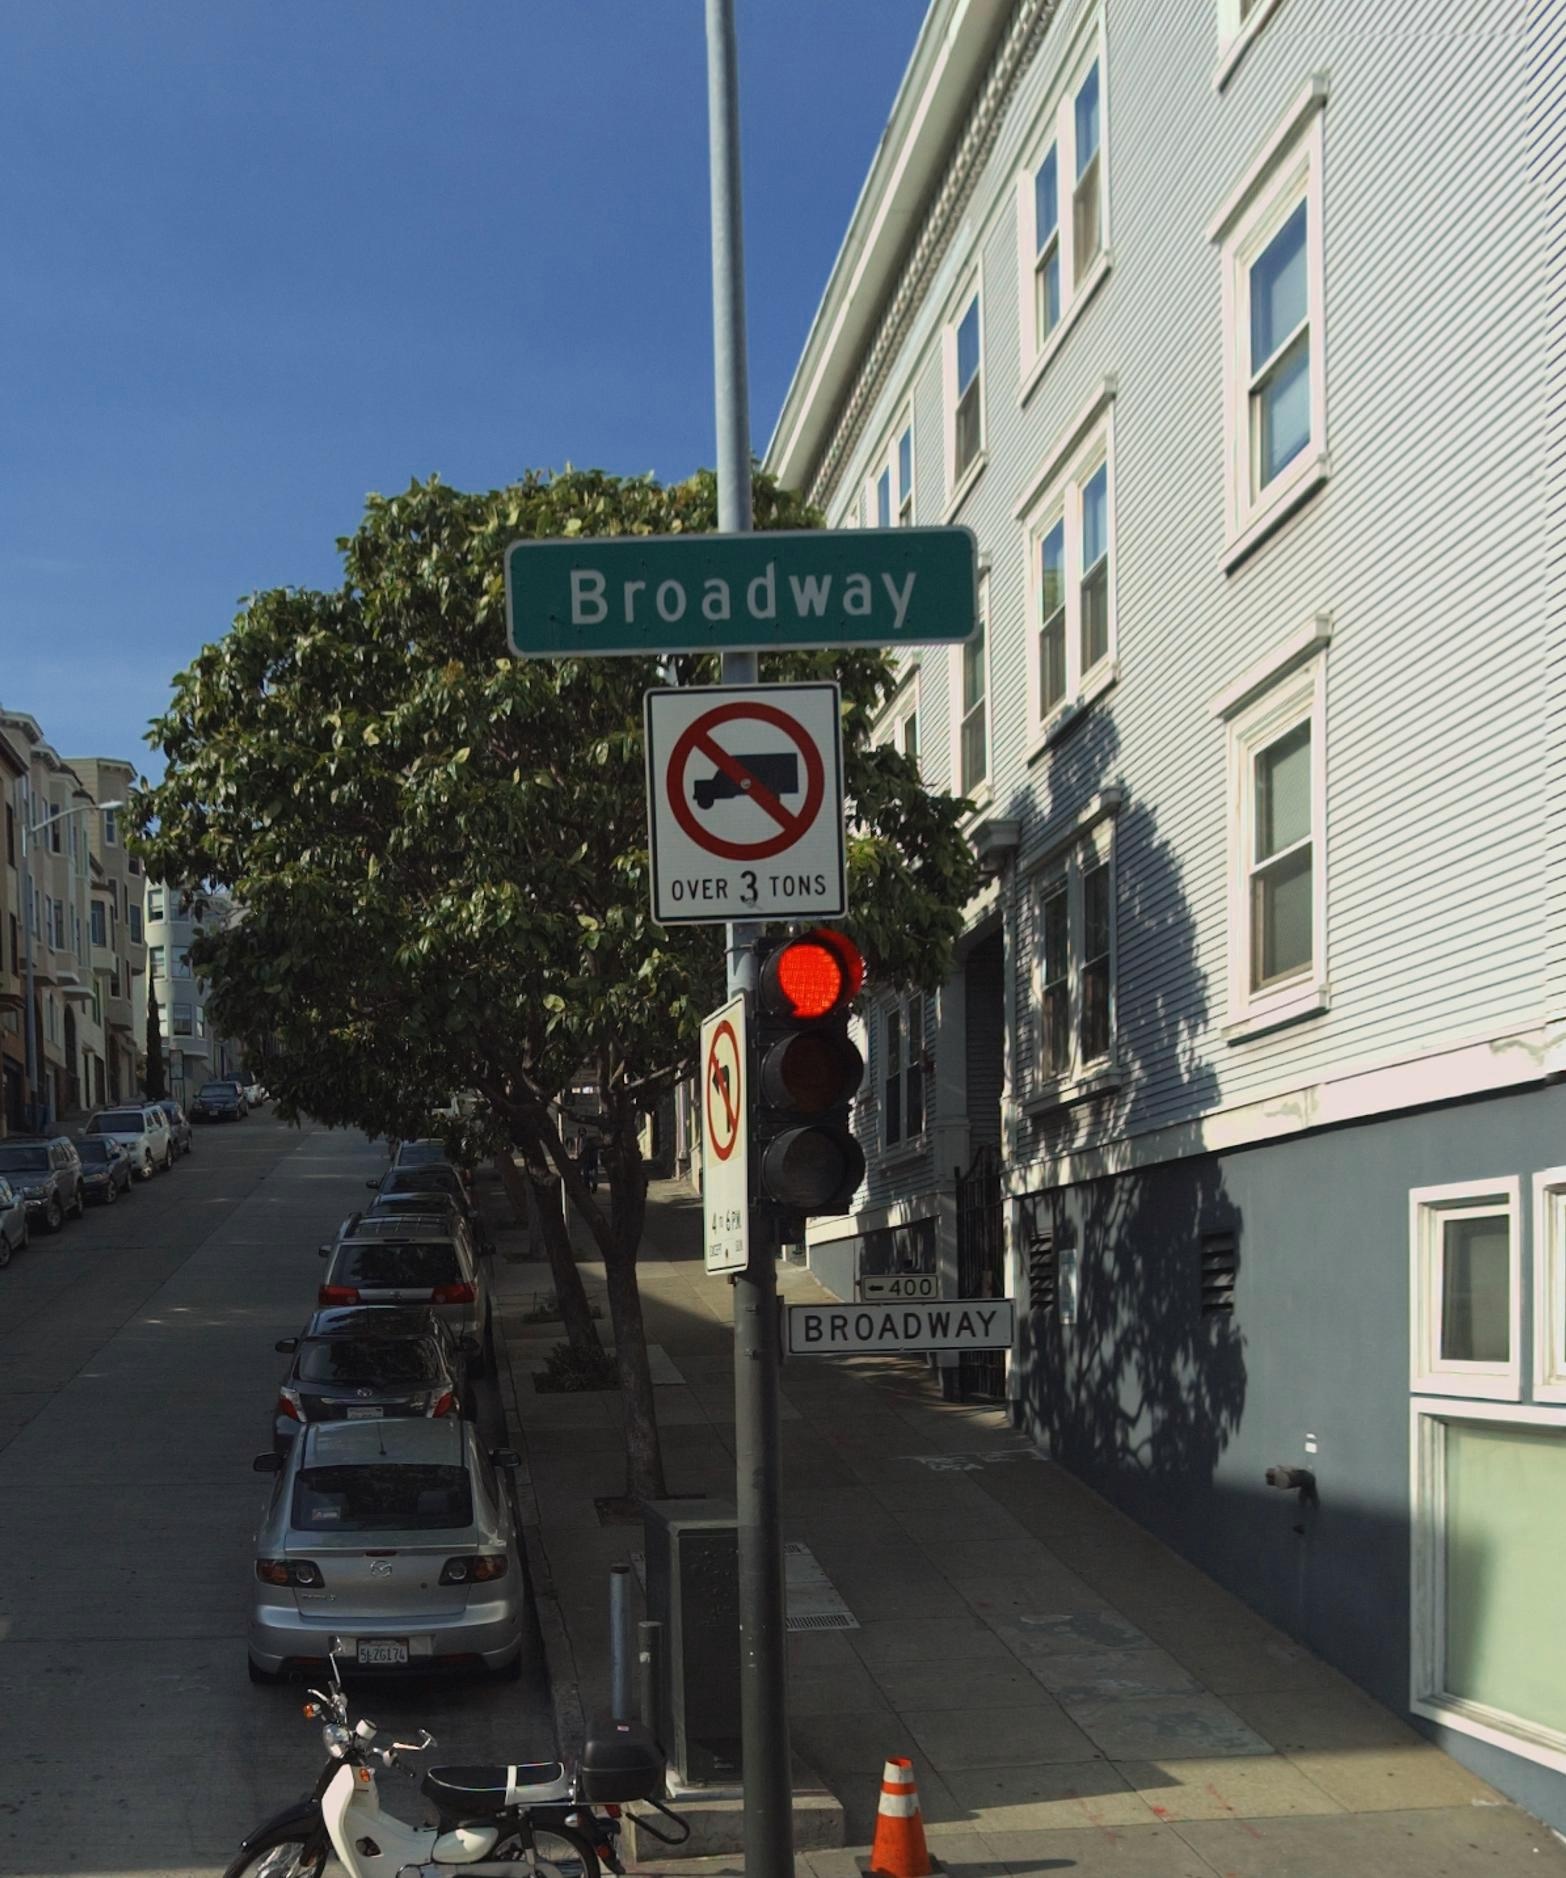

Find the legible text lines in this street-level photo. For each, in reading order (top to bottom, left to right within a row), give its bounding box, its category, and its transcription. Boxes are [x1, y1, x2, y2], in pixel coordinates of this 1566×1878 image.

[565, 557, 920, 634] StreetName: Broadway
[668, 866, 830, 910] None: OVER 3 TONS
[706, 1203, 746, 1239] None: 4 TO 6PM
[863, 1275, 936, 1299] StreetNumberRange: <-400
[801, 1306, 1001, 1346] StreetName: BROADWAY